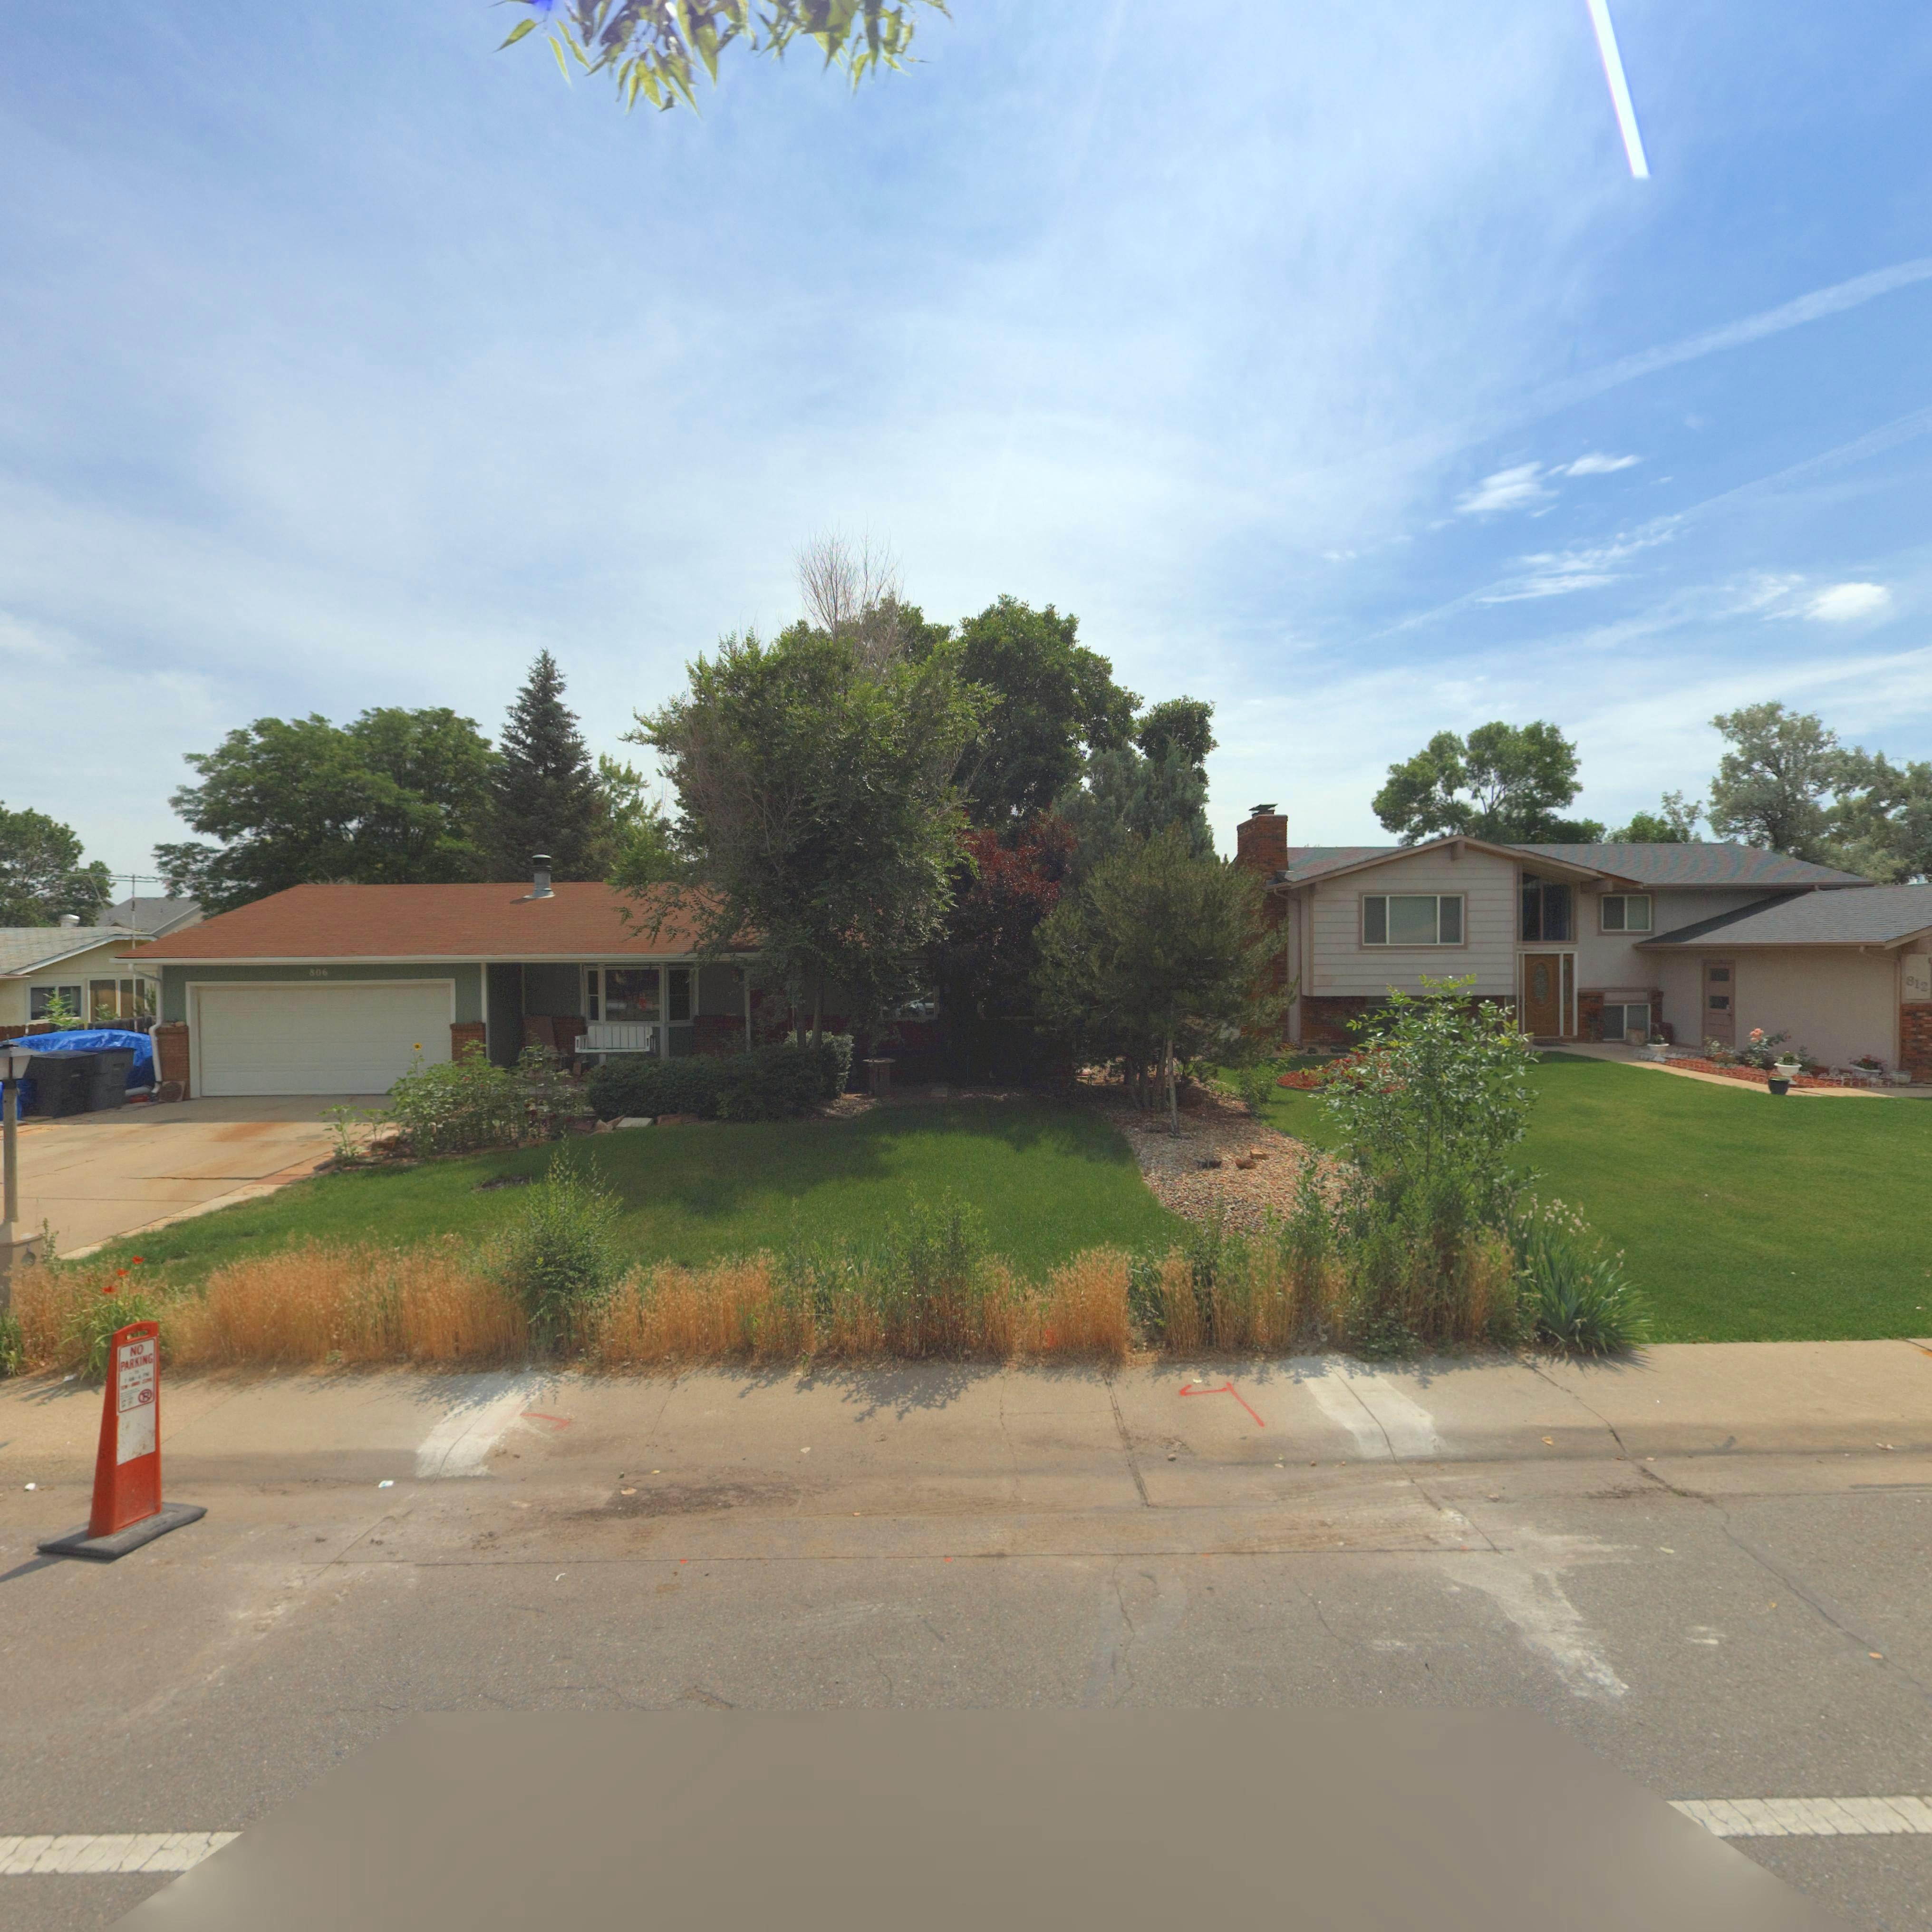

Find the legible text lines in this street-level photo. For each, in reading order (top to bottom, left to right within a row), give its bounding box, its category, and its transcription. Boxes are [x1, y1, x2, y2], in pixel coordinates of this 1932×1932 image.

[309, 967, 328, 976] StreetNumber: 806
[1905, 976, 1928, 991] StreetNumber: 812